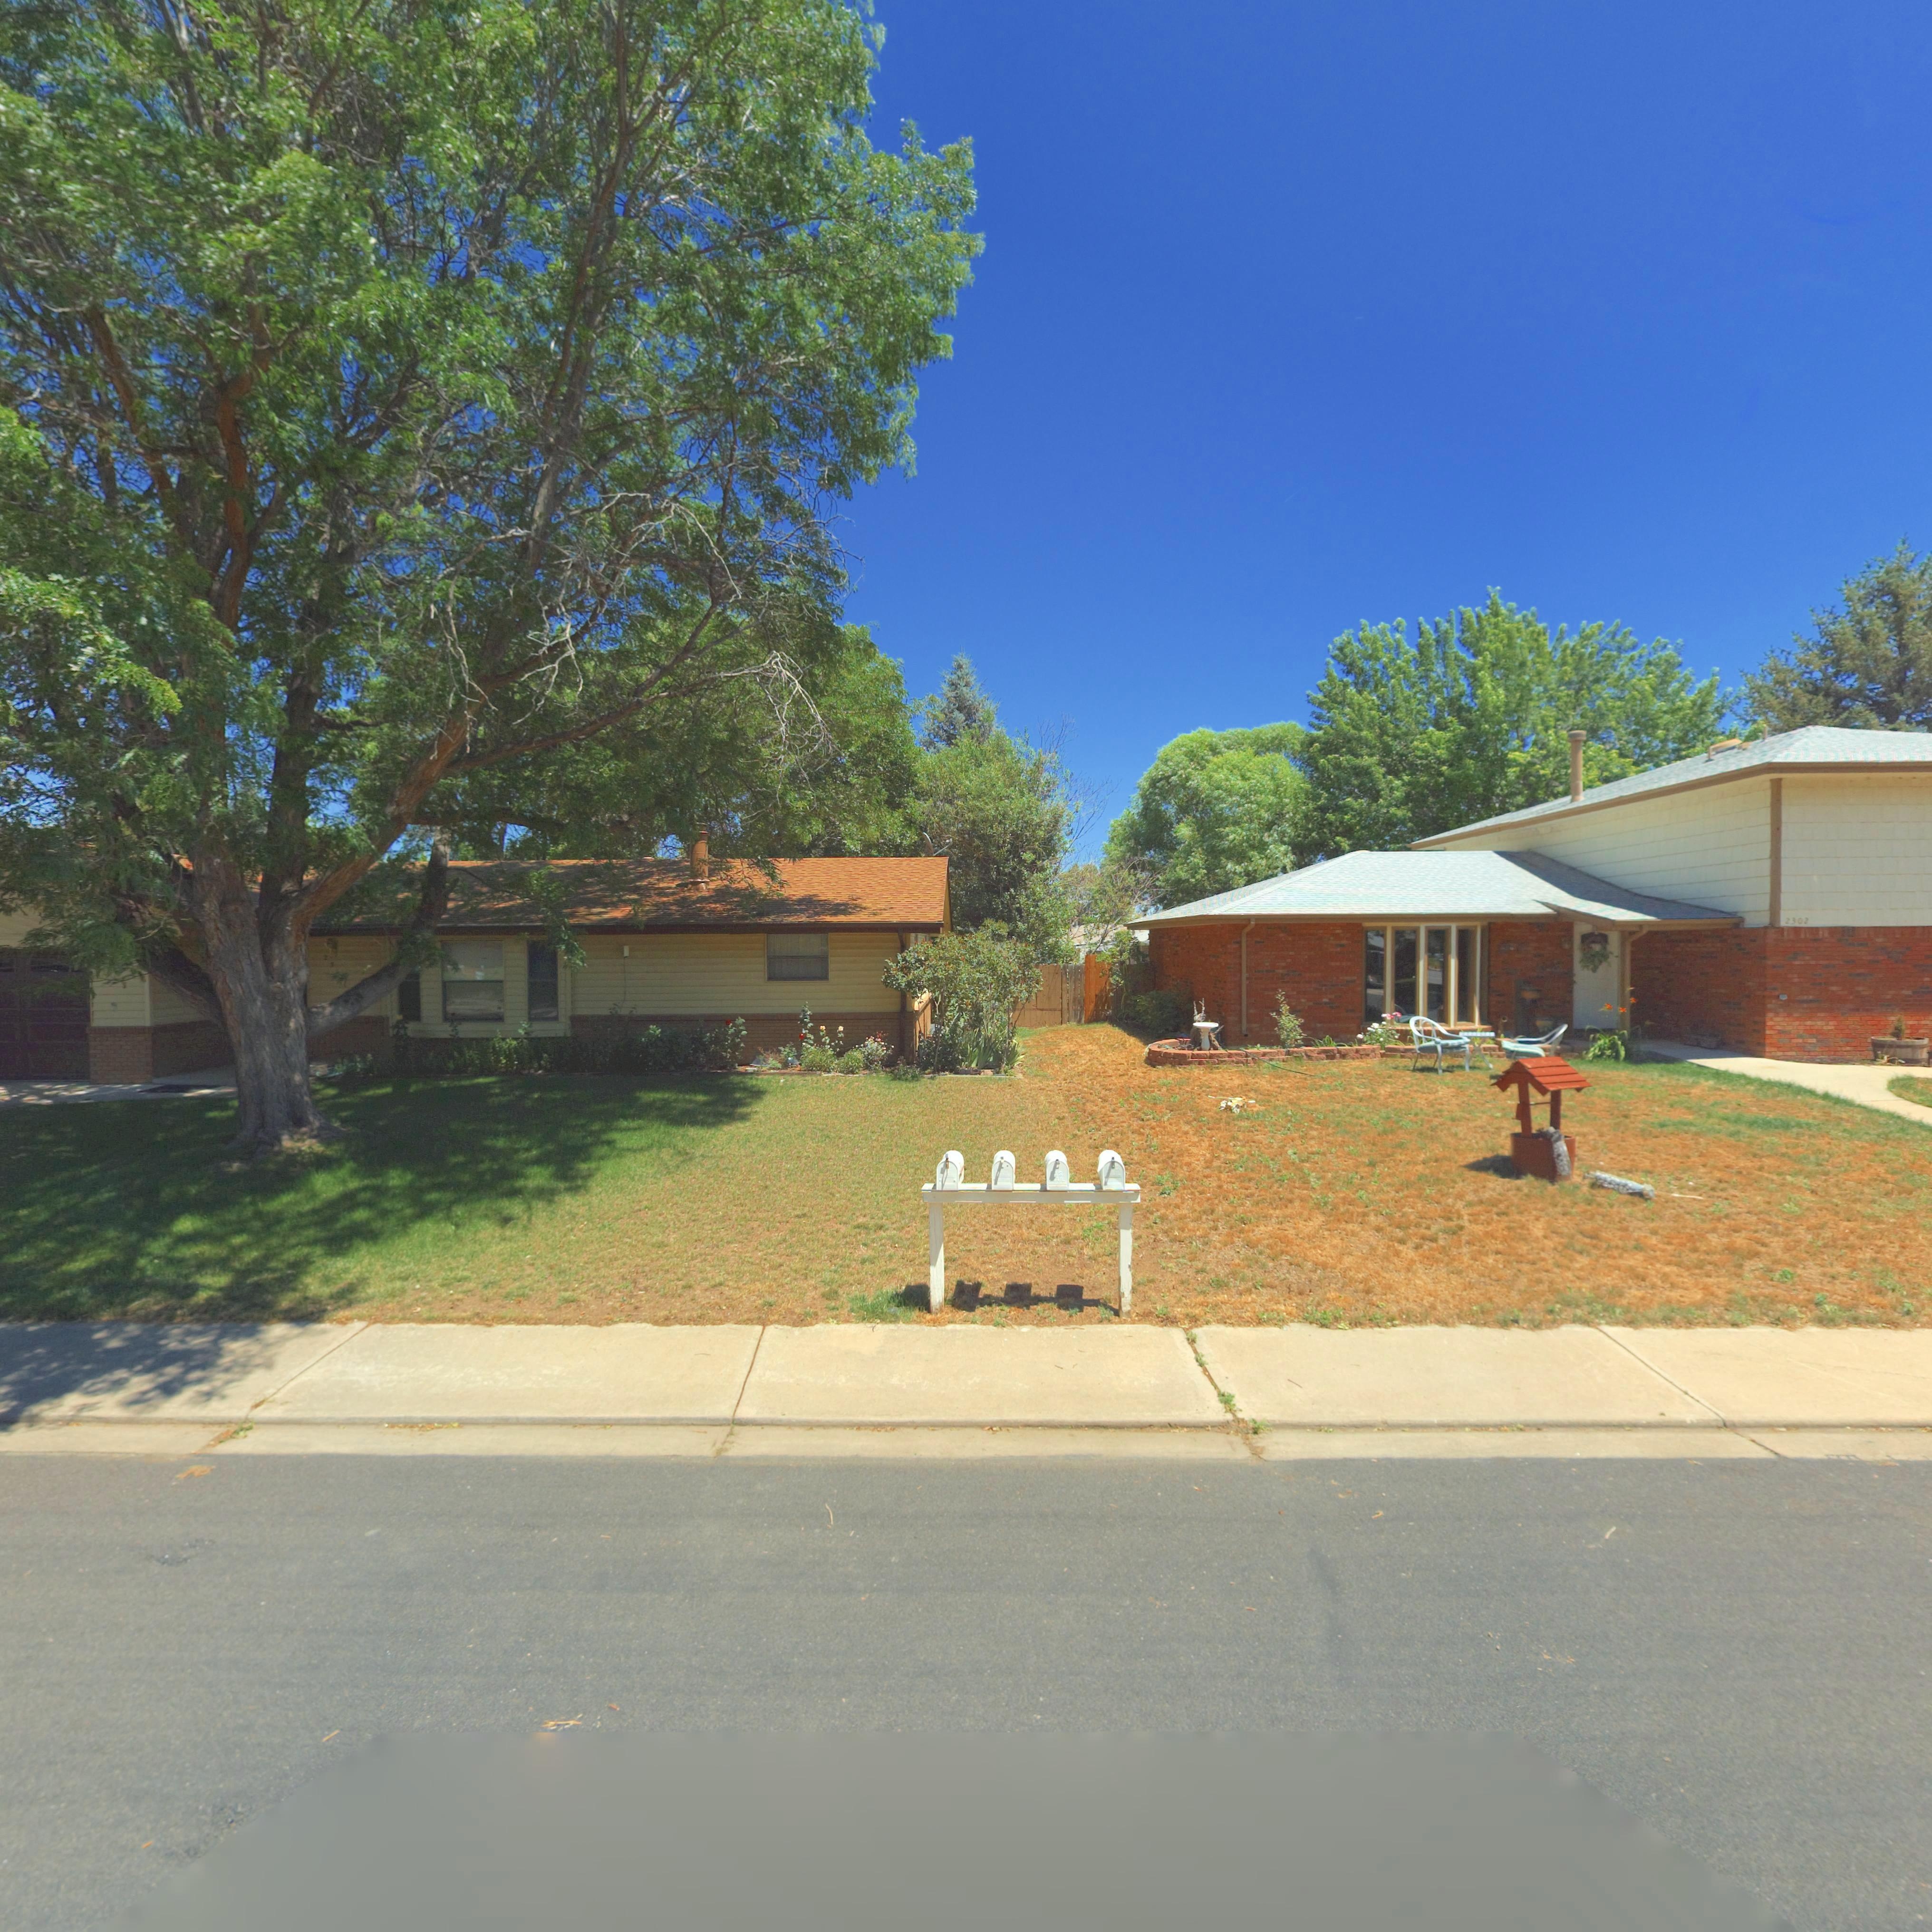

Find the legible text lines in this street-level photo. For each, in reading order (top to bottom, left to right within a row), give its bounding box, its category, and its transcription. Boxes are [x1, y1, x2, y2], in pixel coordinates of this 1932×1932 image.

[1785, 917, 1808, 925] StreetNumber: 2302